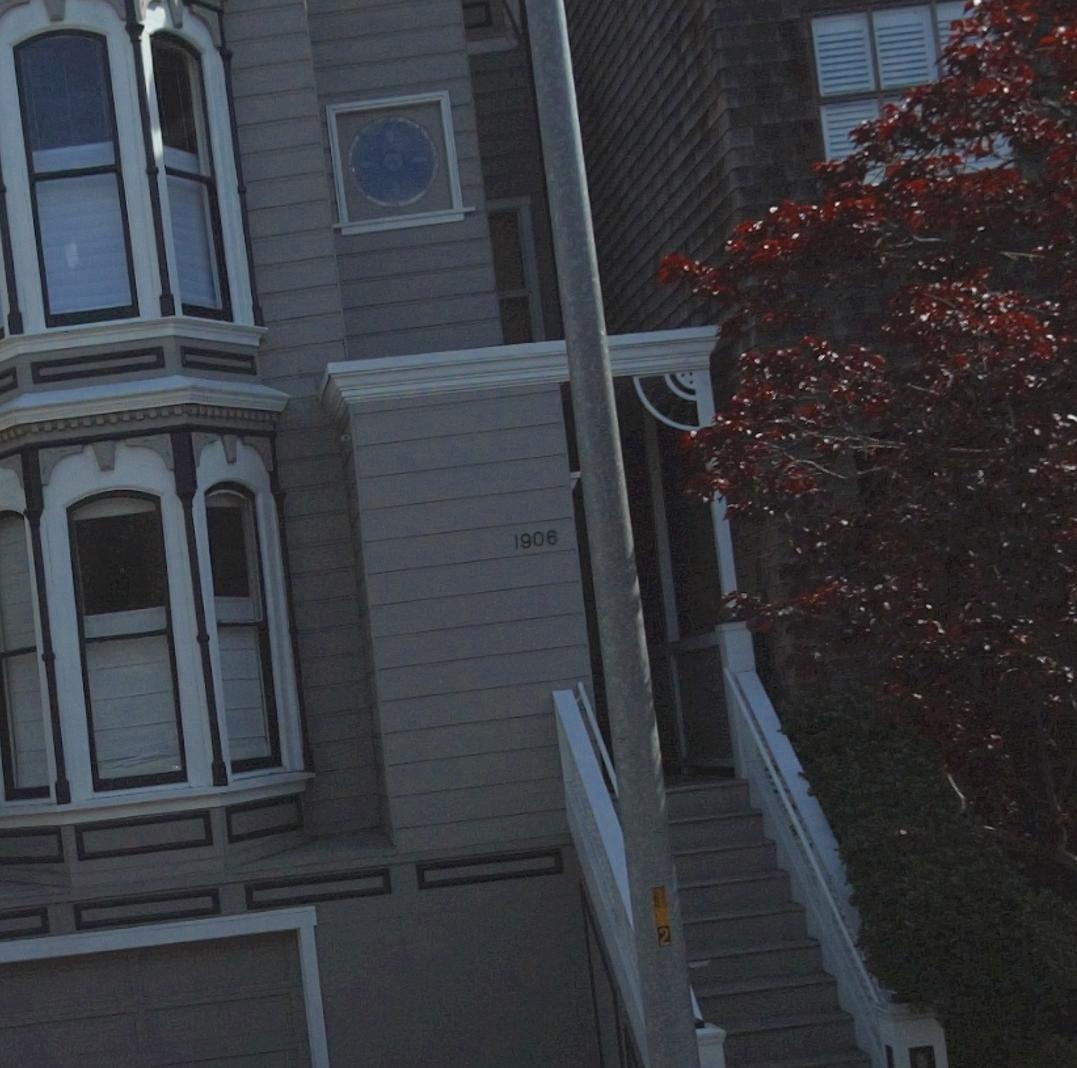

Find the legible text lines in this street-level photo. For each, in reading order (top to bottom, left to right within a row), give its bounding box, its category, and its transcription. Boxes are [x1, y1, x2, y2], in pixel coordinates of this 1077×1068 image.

[512, 527, 560, 553] StreetNumber: 1906
[651, 885, 673, 948] None: 1*2